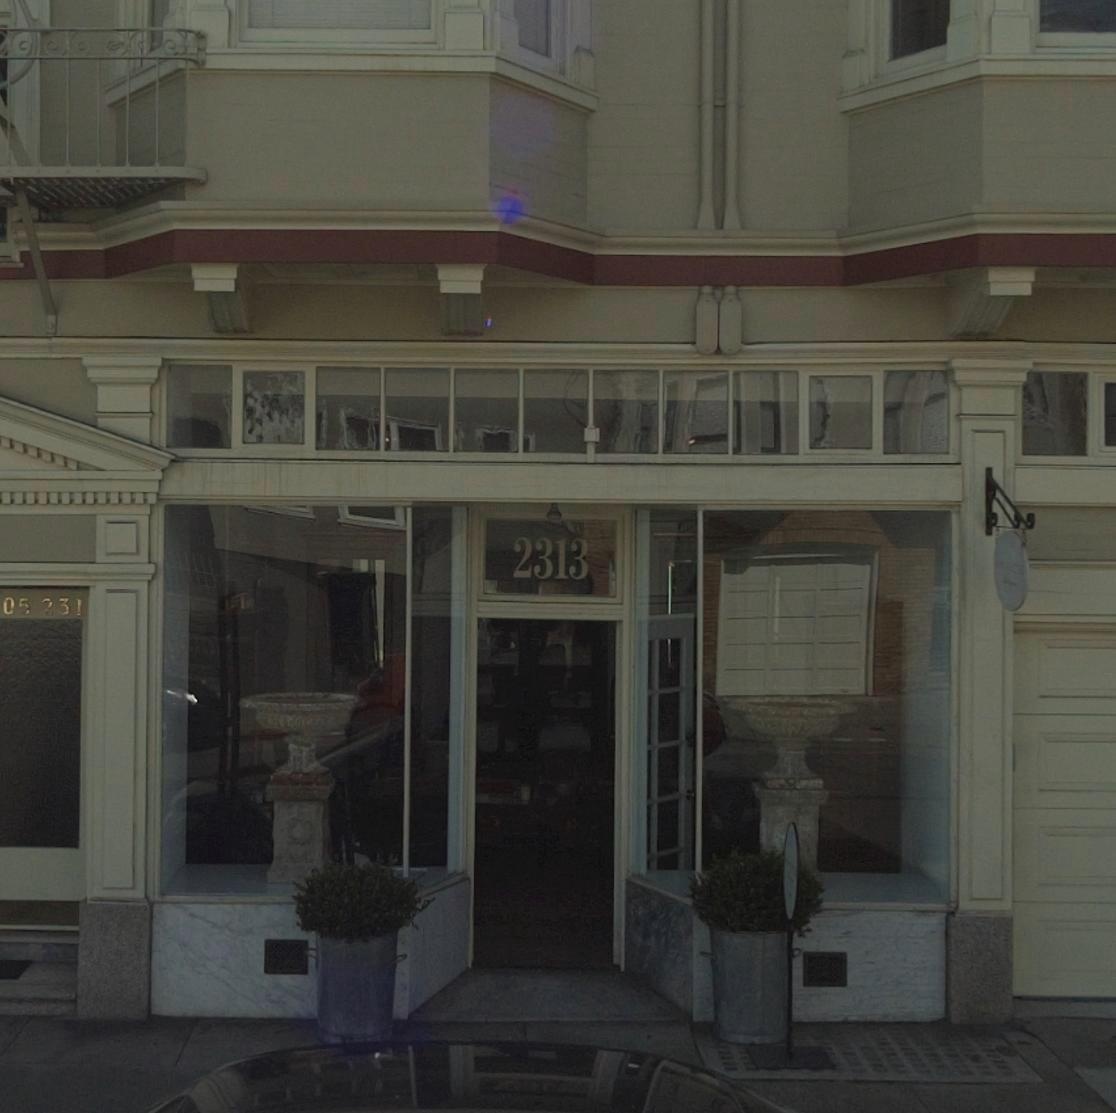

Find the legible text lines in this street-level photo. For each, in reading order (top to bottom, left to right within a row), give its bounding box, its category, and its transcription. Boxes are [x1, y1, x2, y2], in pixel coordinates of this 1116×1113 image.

[510, 535, 591, 582] StreetNumber: 2313
[1, 595, 33, 617] StreetNumber: 05
[39, 595, 85, 619] StreetNumber: 231